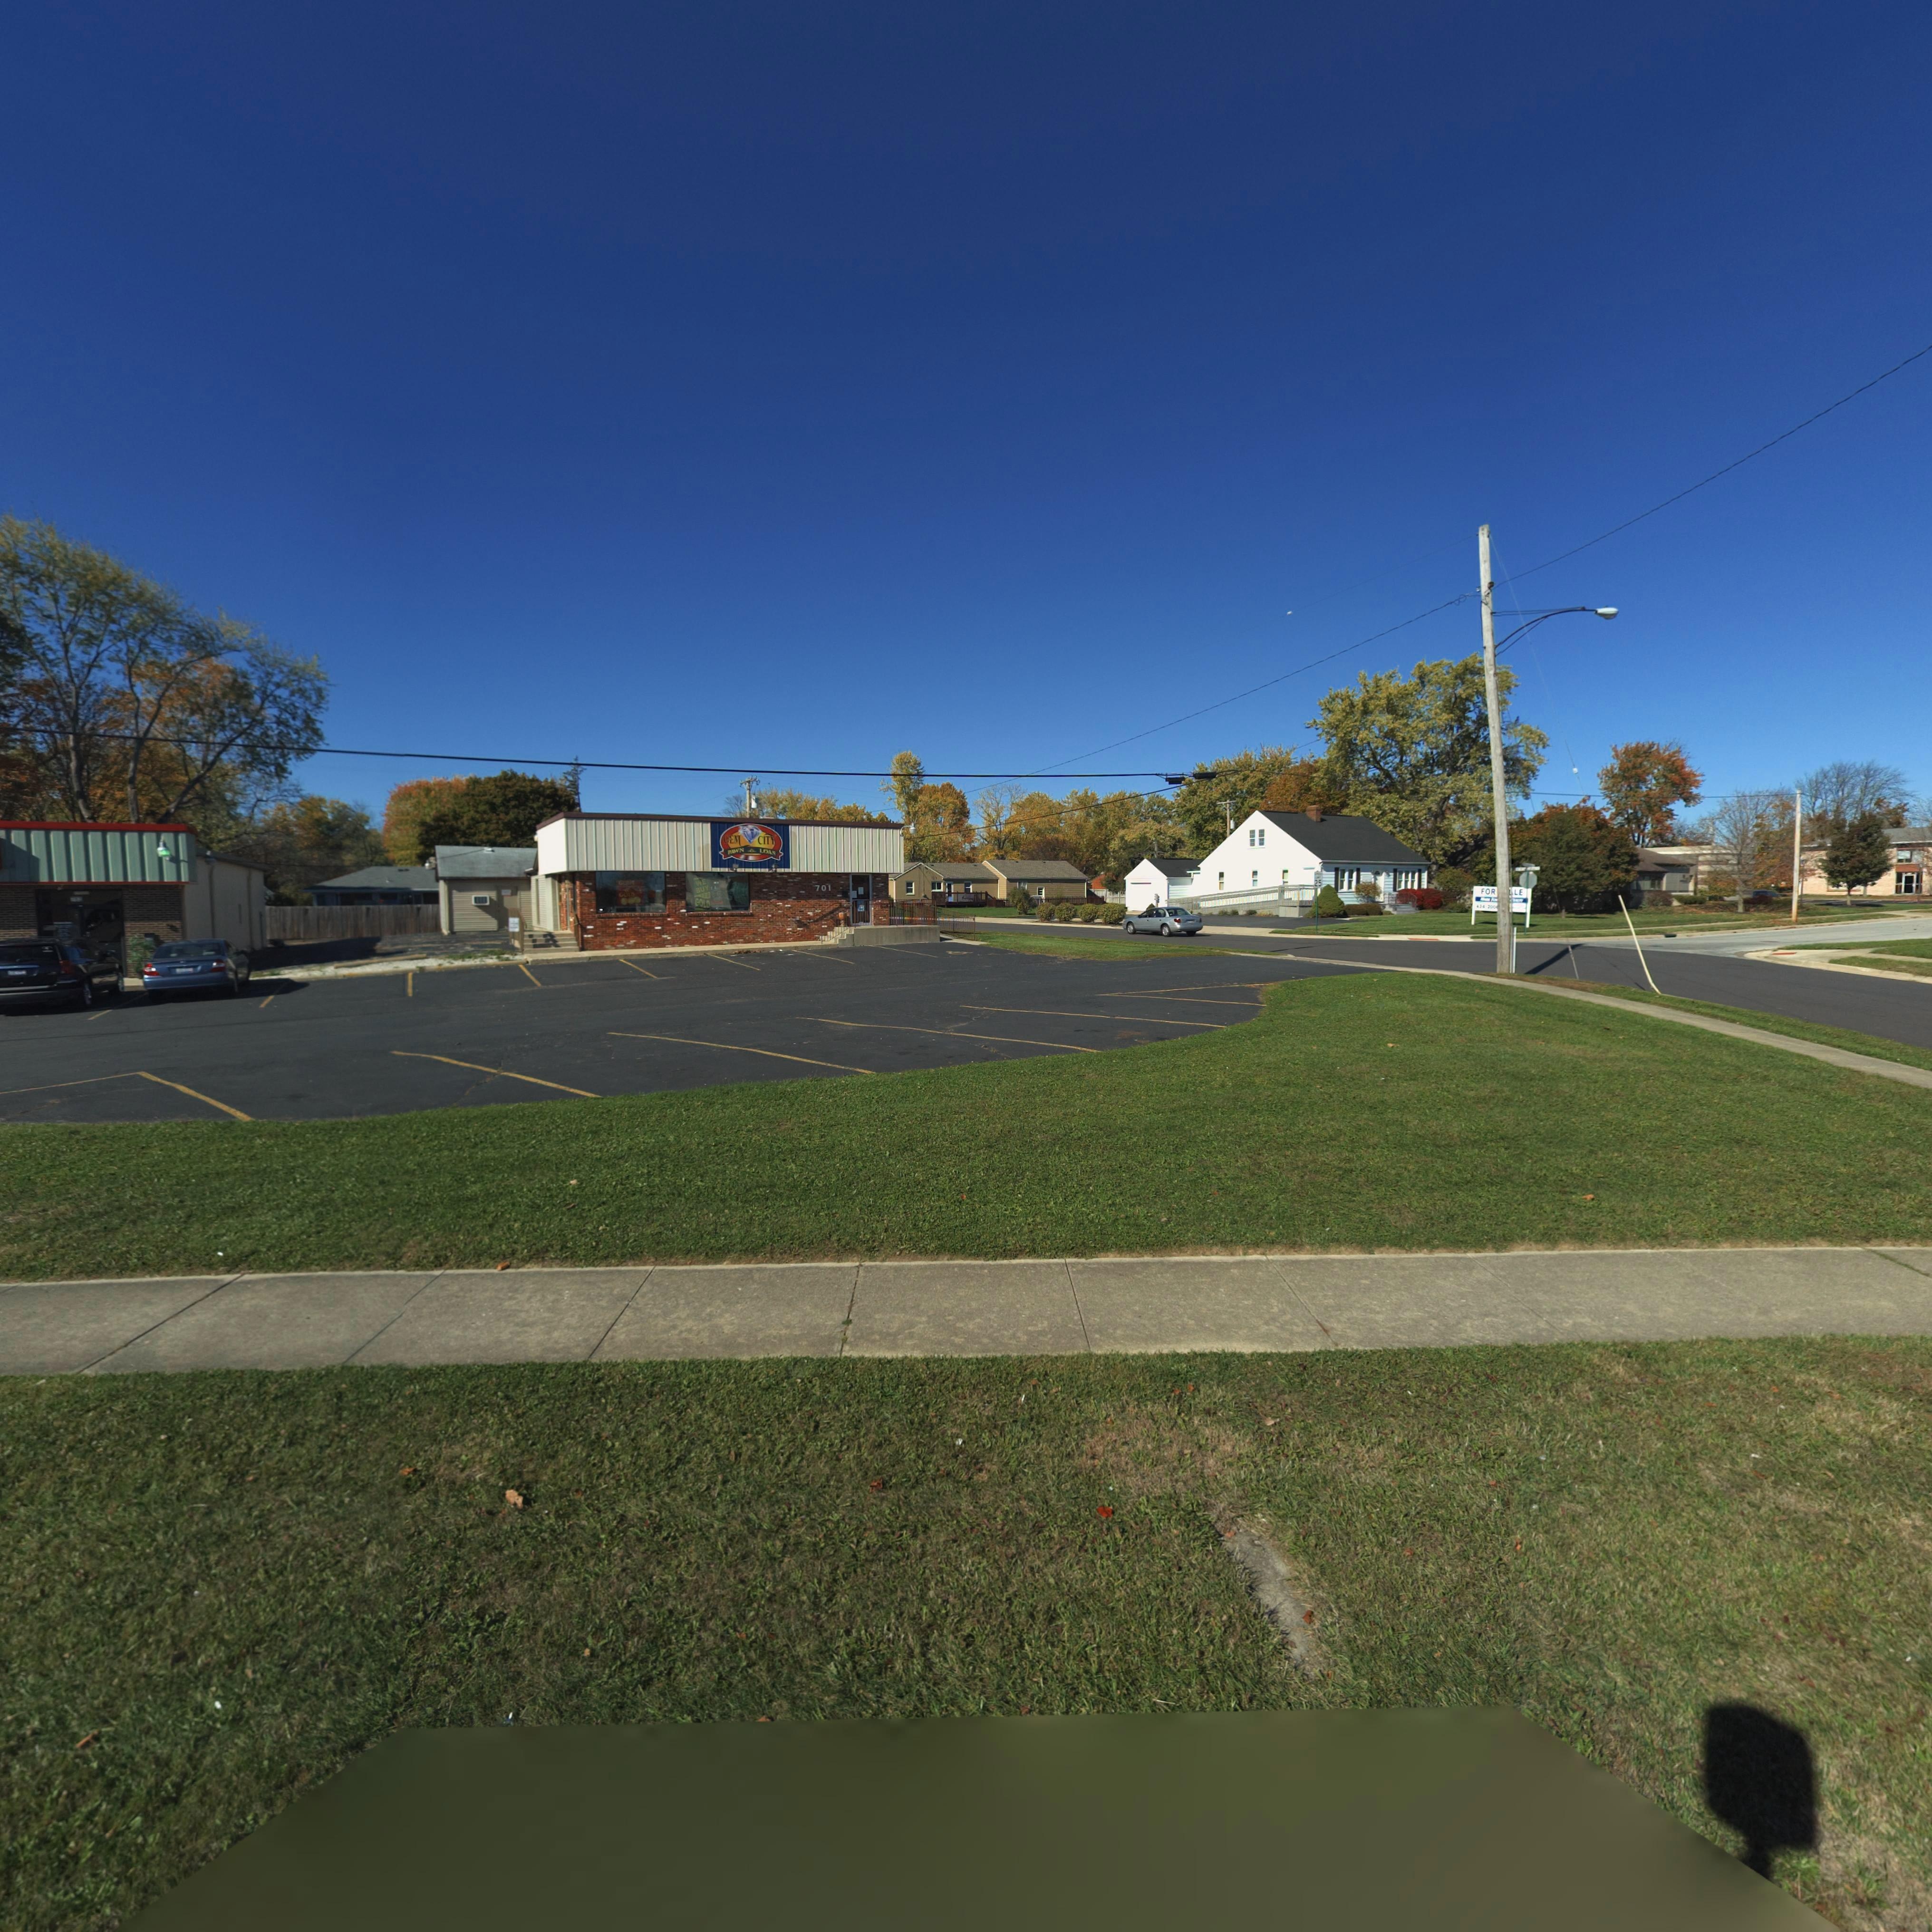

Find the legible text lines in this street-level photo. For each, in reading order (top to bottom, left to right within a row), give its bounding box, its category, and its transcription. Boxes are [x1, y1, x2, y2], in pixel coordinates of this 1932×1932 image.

[723, 833, 776, 845] BusinessName: GEM CITY
[727, 847, 776, 857] BusinessName: PAWN * LOAN
[814, 884, 831, 892] StreetNumber: 701
[1480, 888, 1524, 896] None: FOR **LE